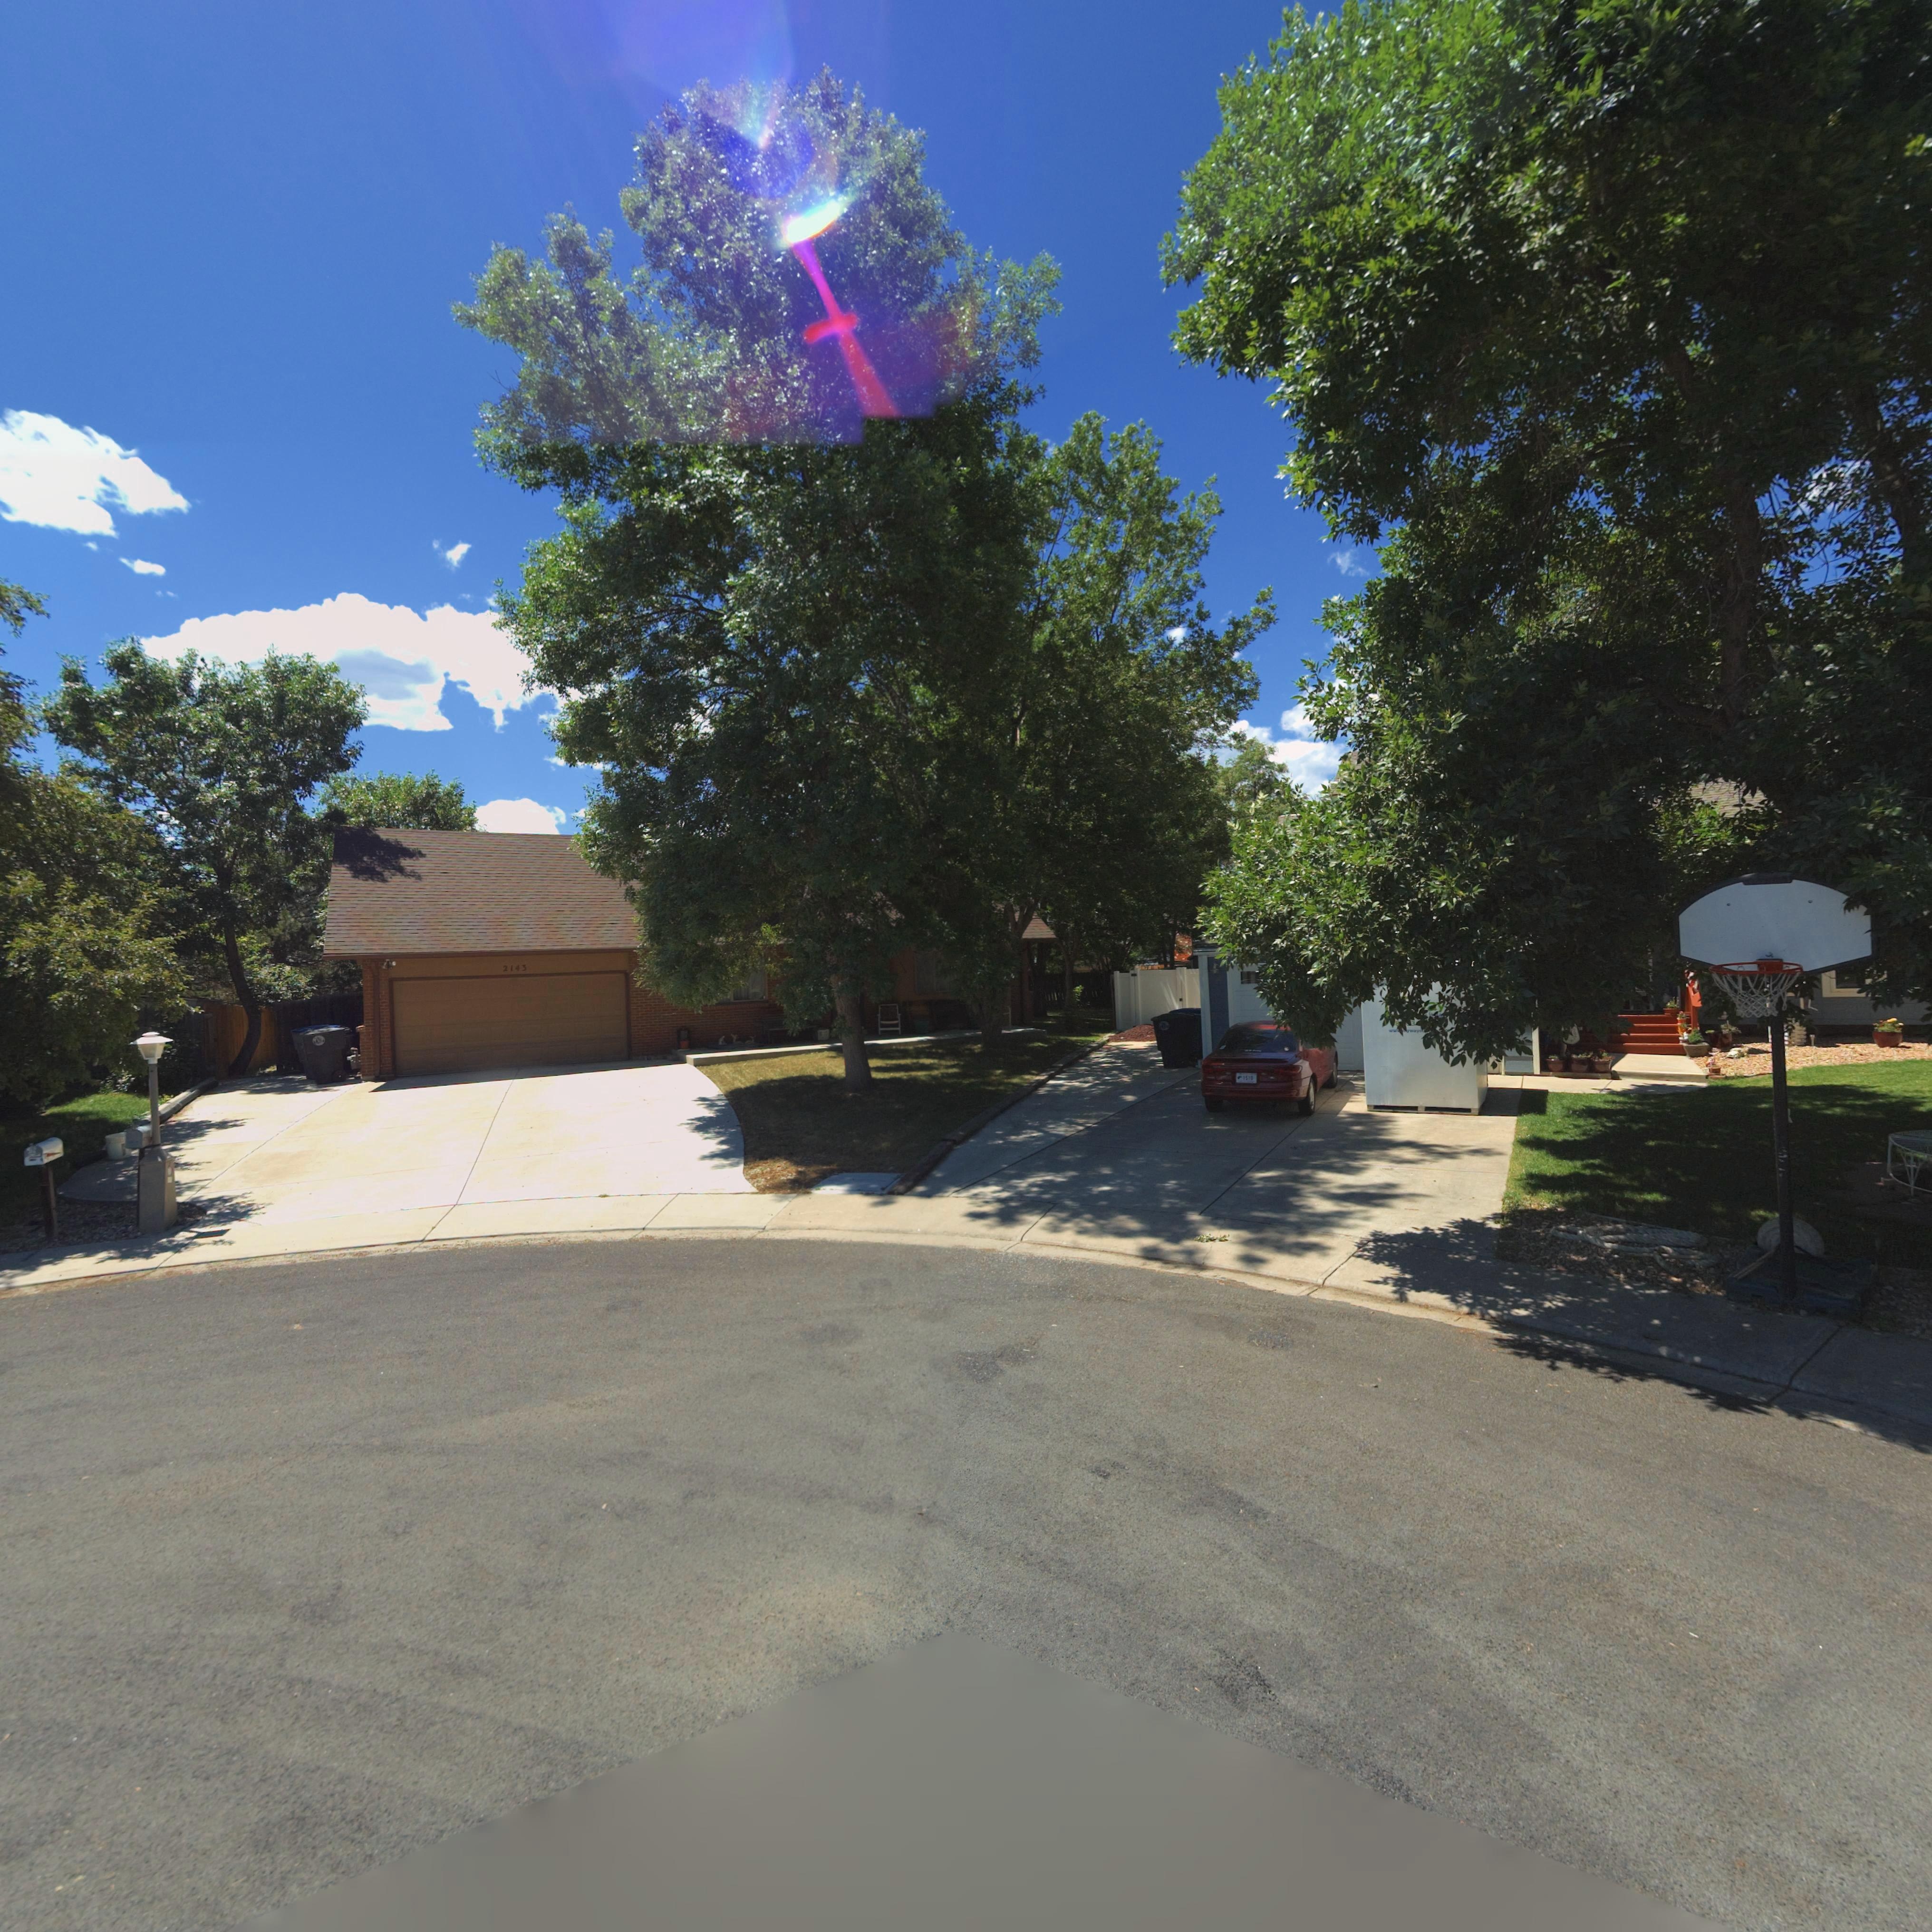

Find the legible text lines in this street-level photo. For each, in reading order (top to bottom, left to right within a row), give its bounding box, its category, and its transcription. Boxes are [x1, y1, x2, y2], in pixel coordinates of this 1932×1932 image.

[502, 964, 527, 972] StreetNumber: 2143